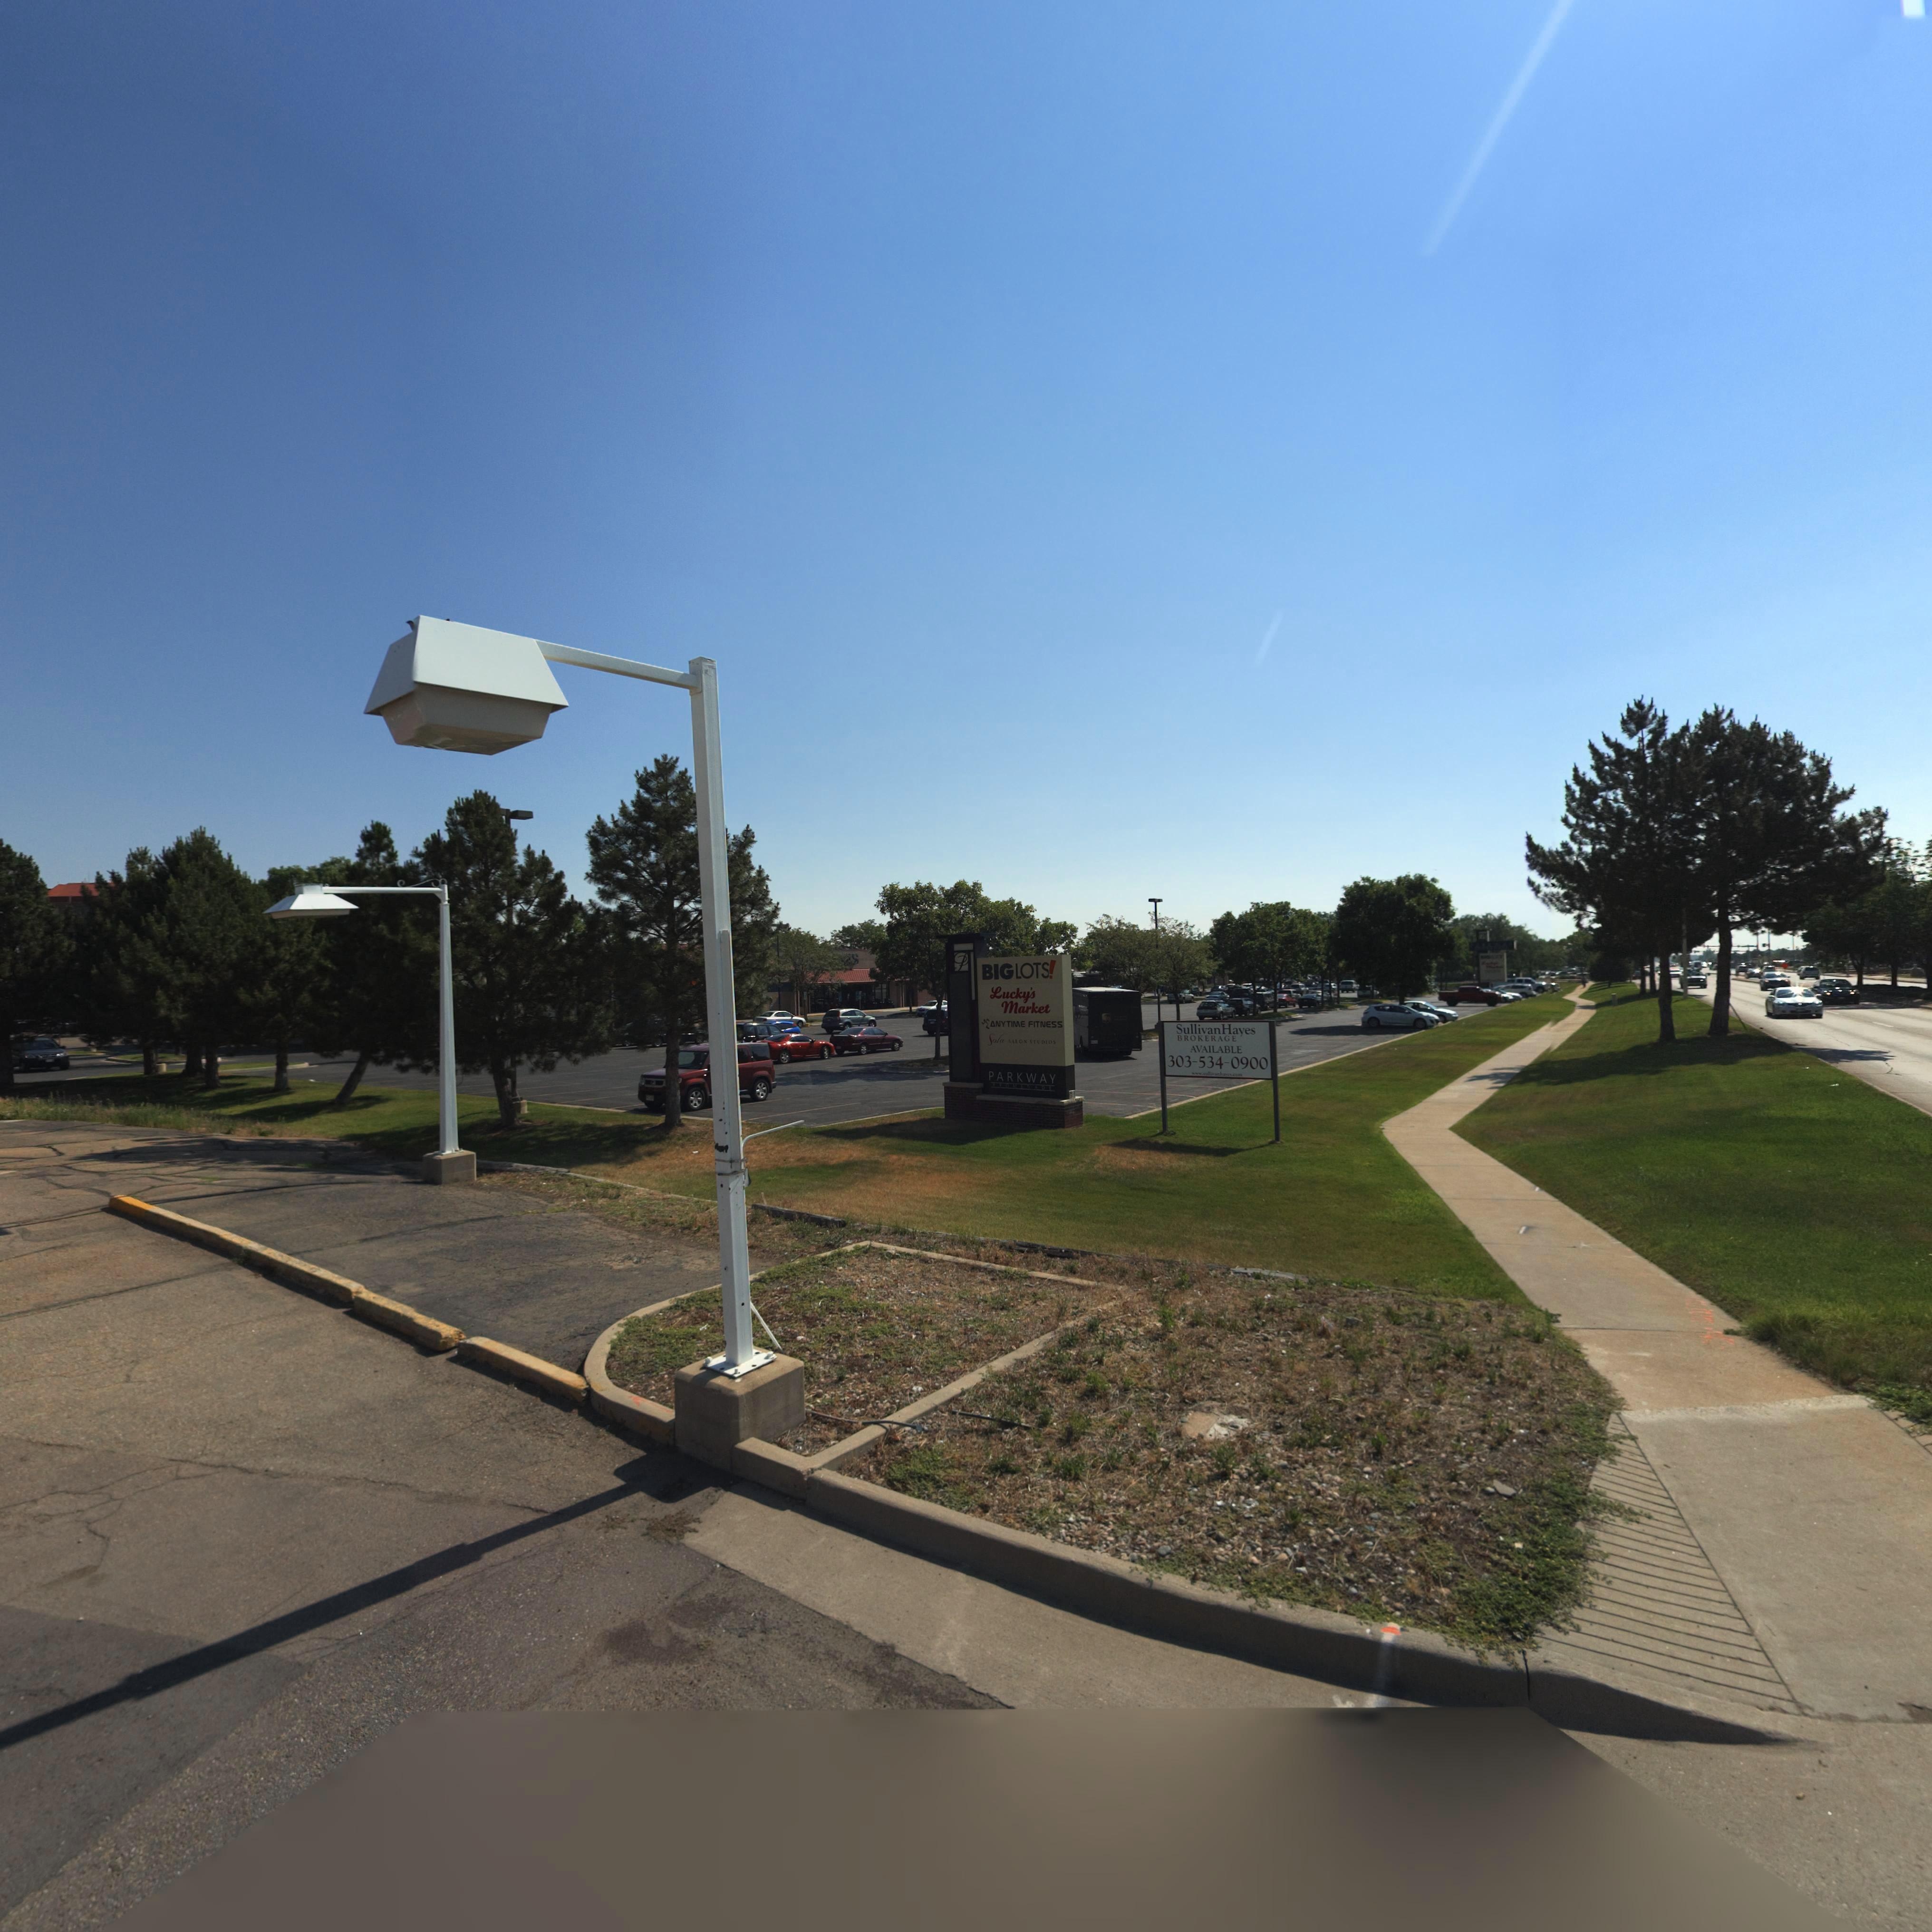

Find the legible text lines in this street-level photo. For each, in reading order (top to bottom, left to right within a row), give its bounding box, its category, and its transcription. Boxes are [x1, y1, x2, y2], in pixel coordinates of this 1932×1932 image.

[842, 953, 859, 965] BusinessName: ****s
[982, 959, 1057, 980] BusinessName: BIG LOTS!
[989, 985, 1035, 1004] BusinessName: Lucky's
[1001, 1000, 1051, 1014] BusinessName: Market
[989, 1020, 1063, 1028] BusinessName: ANYTIME FITNESS
[987, 1032, 1056, 1046] BusinessName: Sola SALON STUDIOS